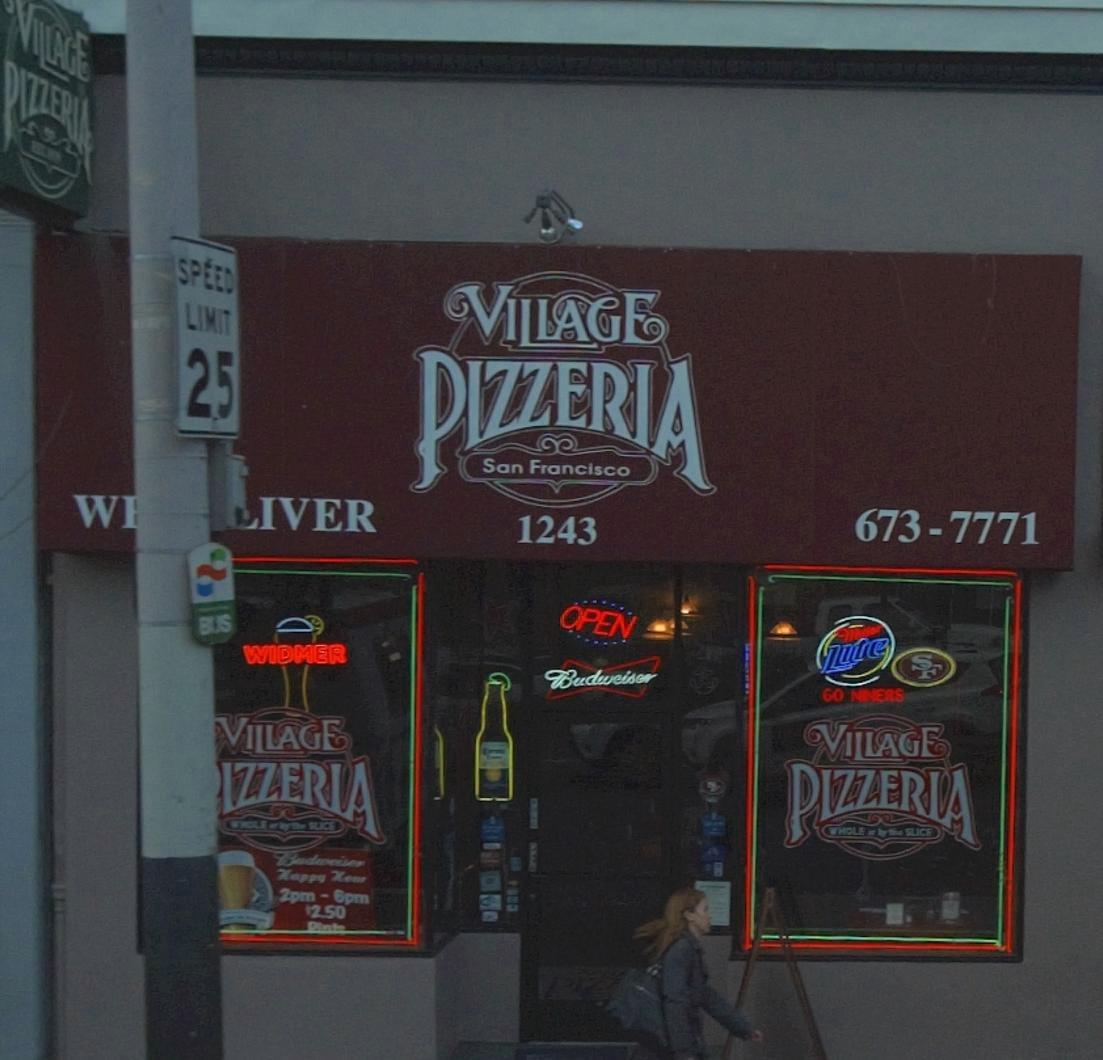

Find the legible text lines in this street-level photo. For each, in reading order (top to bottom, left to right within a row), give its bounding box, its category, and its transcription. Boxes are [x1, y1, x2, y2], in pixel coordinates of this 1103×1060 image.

[28, 11, 92, 88] BusinessName: ILLAGE
[0, 53, 94, 189] BusinessName: PIZZERIA
[174, 252, 238, 299] None: SPEED
[182, 297, 236, 340] None: LIMIT
[439, 277, 672, 354] BusinessName: VILLAGE
[181, 343, 237, 422] None: 25
[404, 342, 721, 500] BusinessName: PIZZERIA
[479, 454, 633, 479] None: San Francisco
[66, 490, 126, 533] None: W
[253, 492, 381, 537] None: IVER
[514, 512, 600, 548] StreetNumber: 1243
[852, 503, 1044, 548] None: 673-7771
[194, 609, 237, 642] None: BUS
[555, 599, 644, 644] None: OPEN
[236, 640, 352, 669] None: WIDMER
[814, 634, 892, 678] None: Lite
[541, 666, 662, 693] None: Budweiser
[818, 684, 908, 707] None: GO NINERS
[208, 710, 353, 758] BusinessName: VILLAGE
[798, 715, 956, 767] BusinessName: VILLAGE
[216, 752, 390, 847] BusinessName: IZZERIA
[778, 753, 986, 855] BusinessName: PIZZERIA
[824, 823, 935, 841] None: WHOLE ** by the SLICE
[265, 844, 372, 871] None: Budweiser
[272, 865, 373, 886] None: Happy Hour
[275, 884, 373, 909] None: 2pm - 6pm
[306, 901, 349, 922] None: 2.50